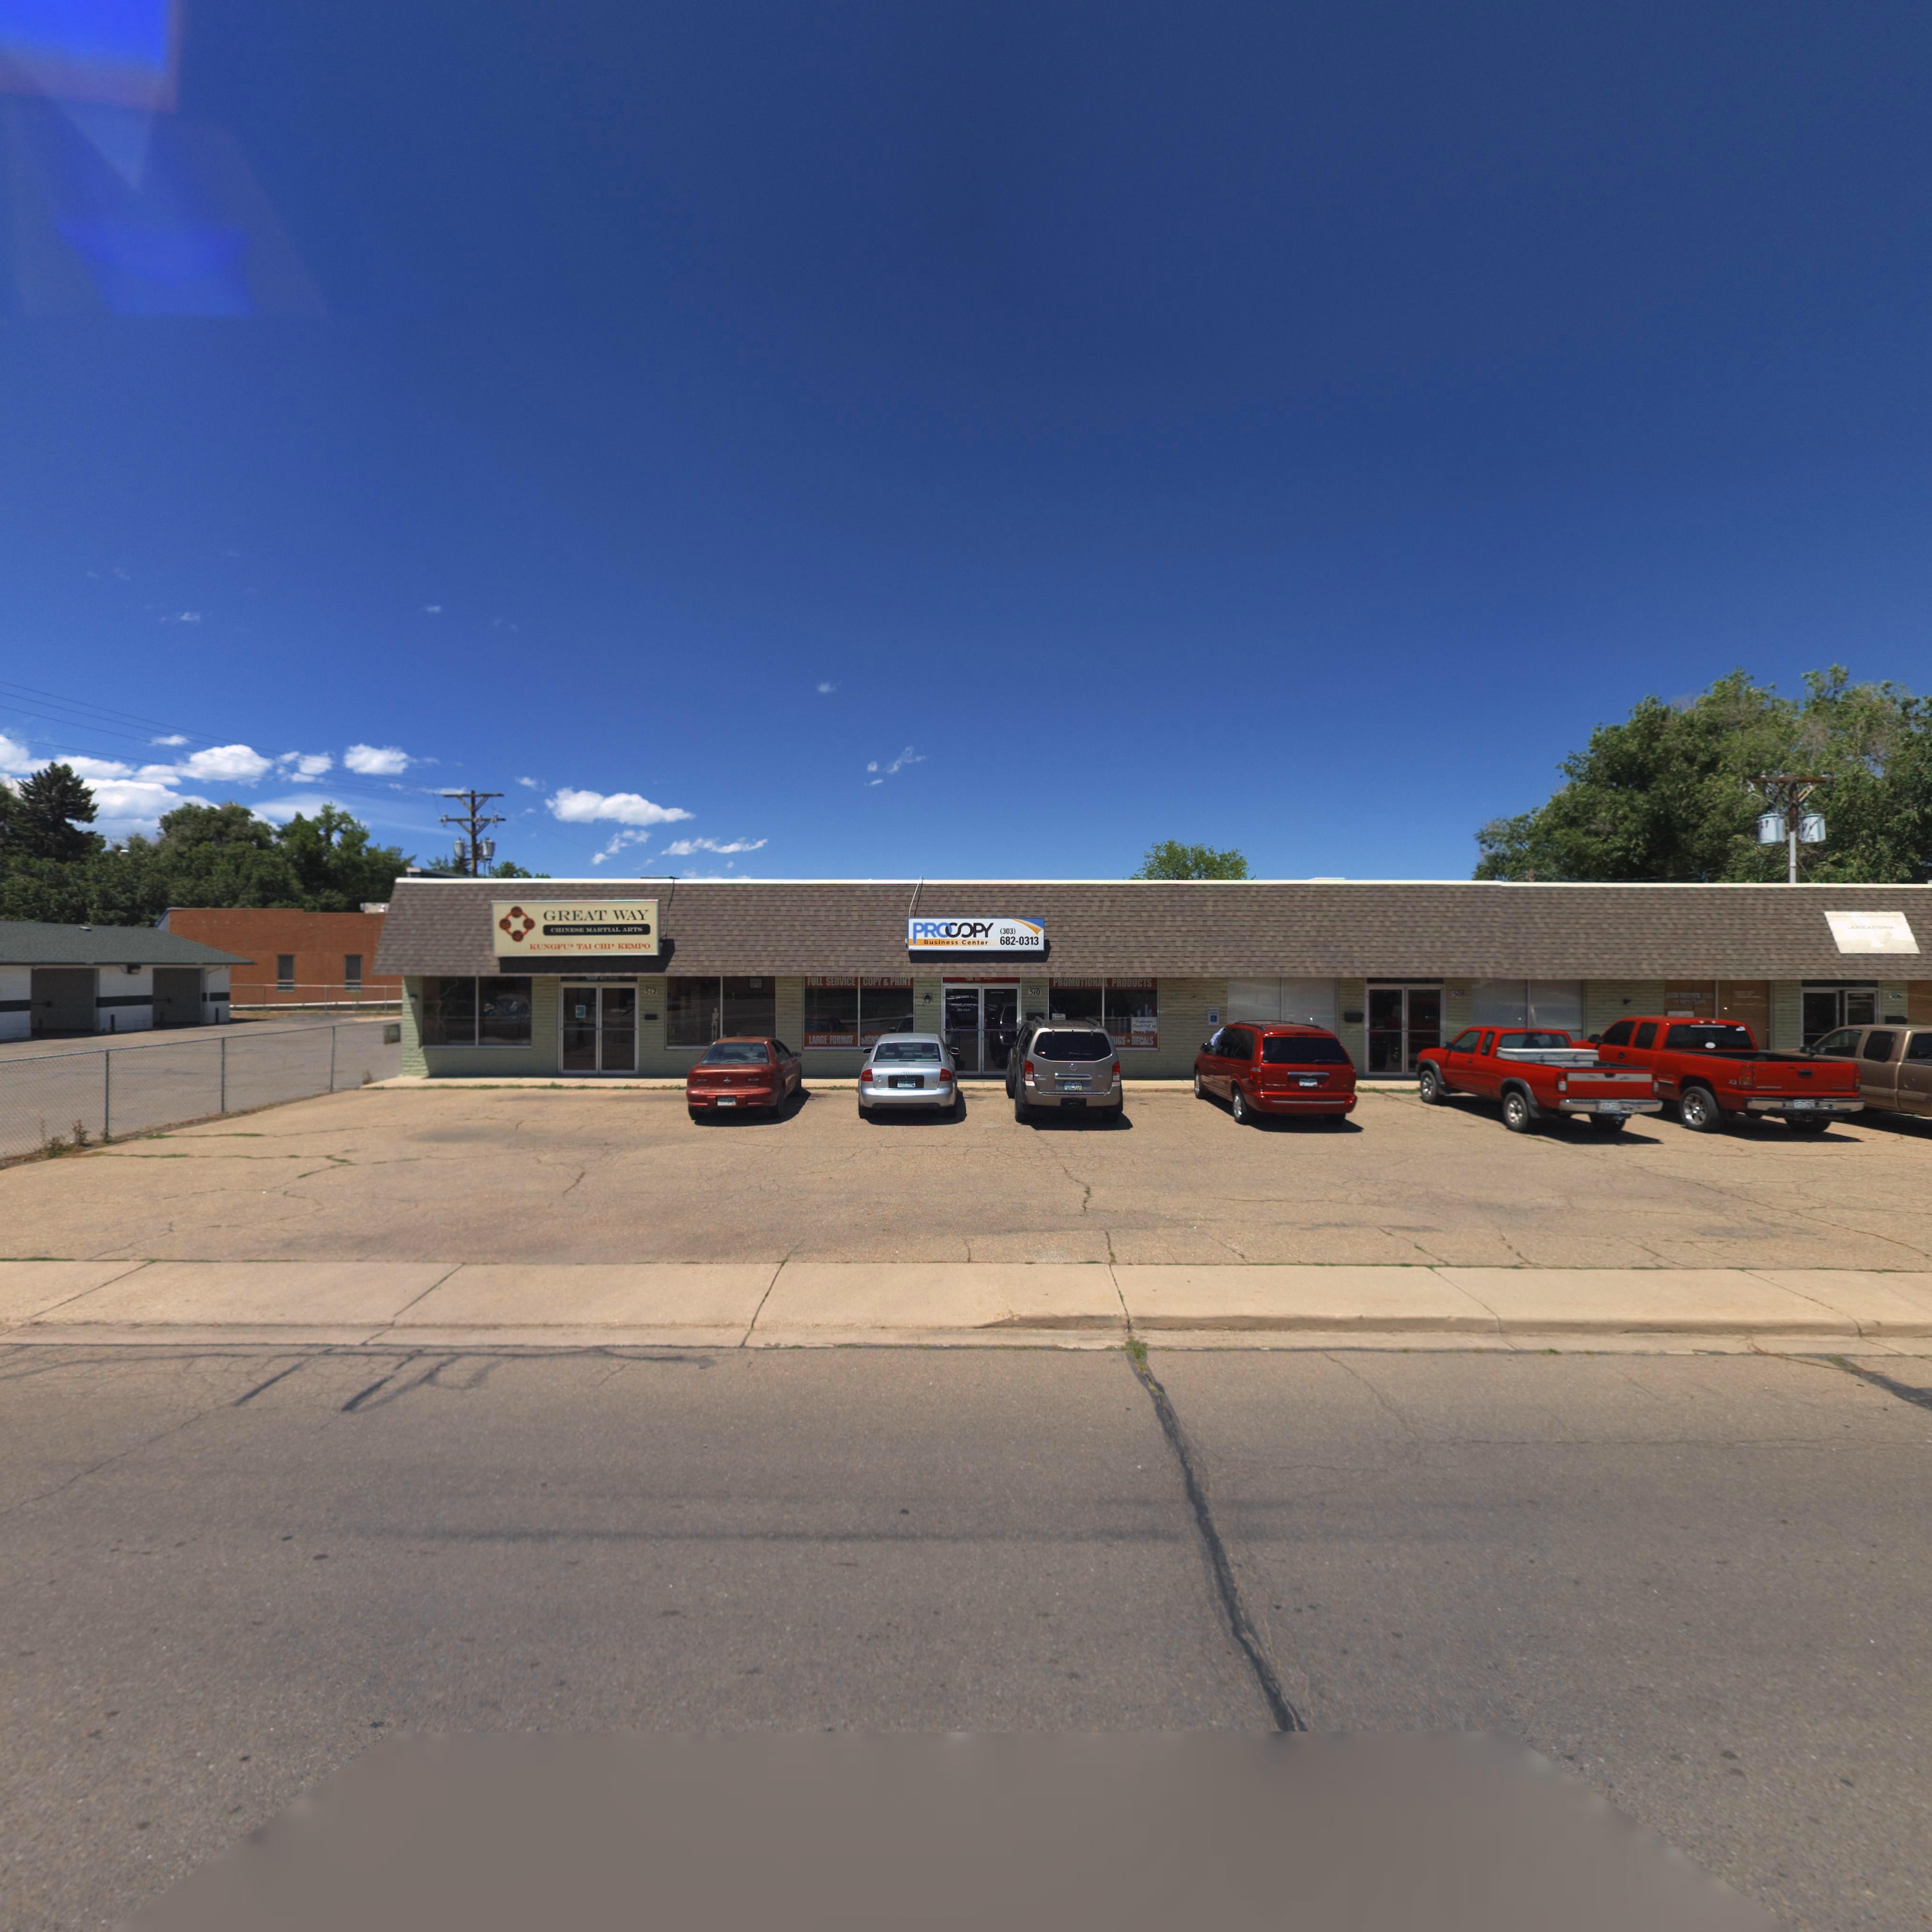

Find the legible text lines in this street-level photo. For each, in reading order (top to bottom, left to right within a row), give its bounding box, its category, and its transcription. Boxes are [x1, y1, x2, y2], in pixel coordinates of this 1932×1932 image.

[542, 909, 650, 921] BusinessName: GREAT WAY
[549, 927, 643, 933] BusinessName: CHINESE MARTIAL ARTS
[1845, 925, 1896, 930] BusinessName: LA ROCA ETERNA
[912, 921, 995, 945] BusinessName: PR**OPY
[924, 939, 988, 945] BusinessName: Business Center
[585, 975, 599, 981] StreetNumber: 512
[643, 987, 657, 995] StreetNumber: 512
[1029, 989, 1040, 995] StreetNumber: 510
[1452, 991, 1465, 997] StreetNumber: 508
[1889, 992, 1902, 999] StreetNumber: 506